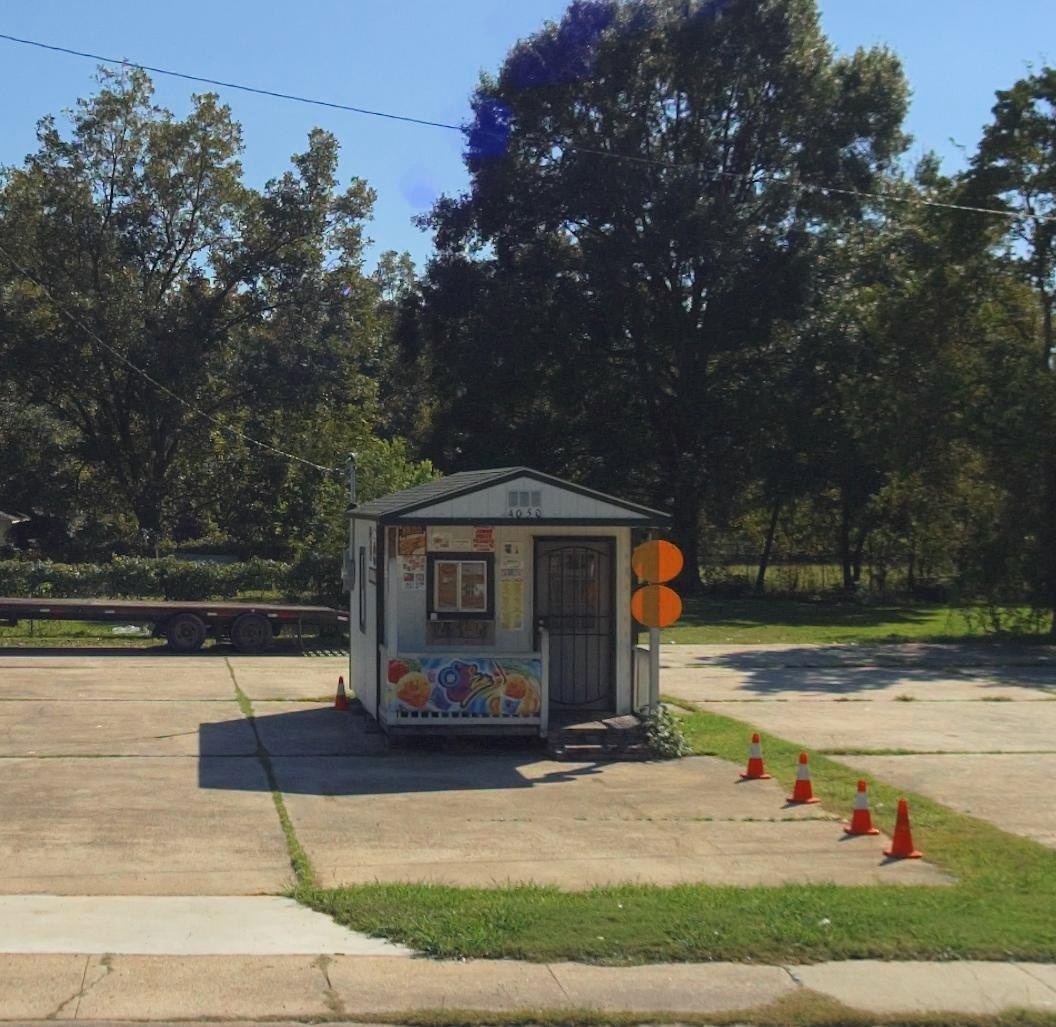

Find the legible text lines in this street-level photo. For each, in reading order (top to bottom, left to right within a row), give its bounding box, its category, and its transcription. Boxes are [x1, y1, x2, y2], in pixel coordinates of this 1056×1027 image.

[506, 507, 544, 519] StreetNumber: 4050